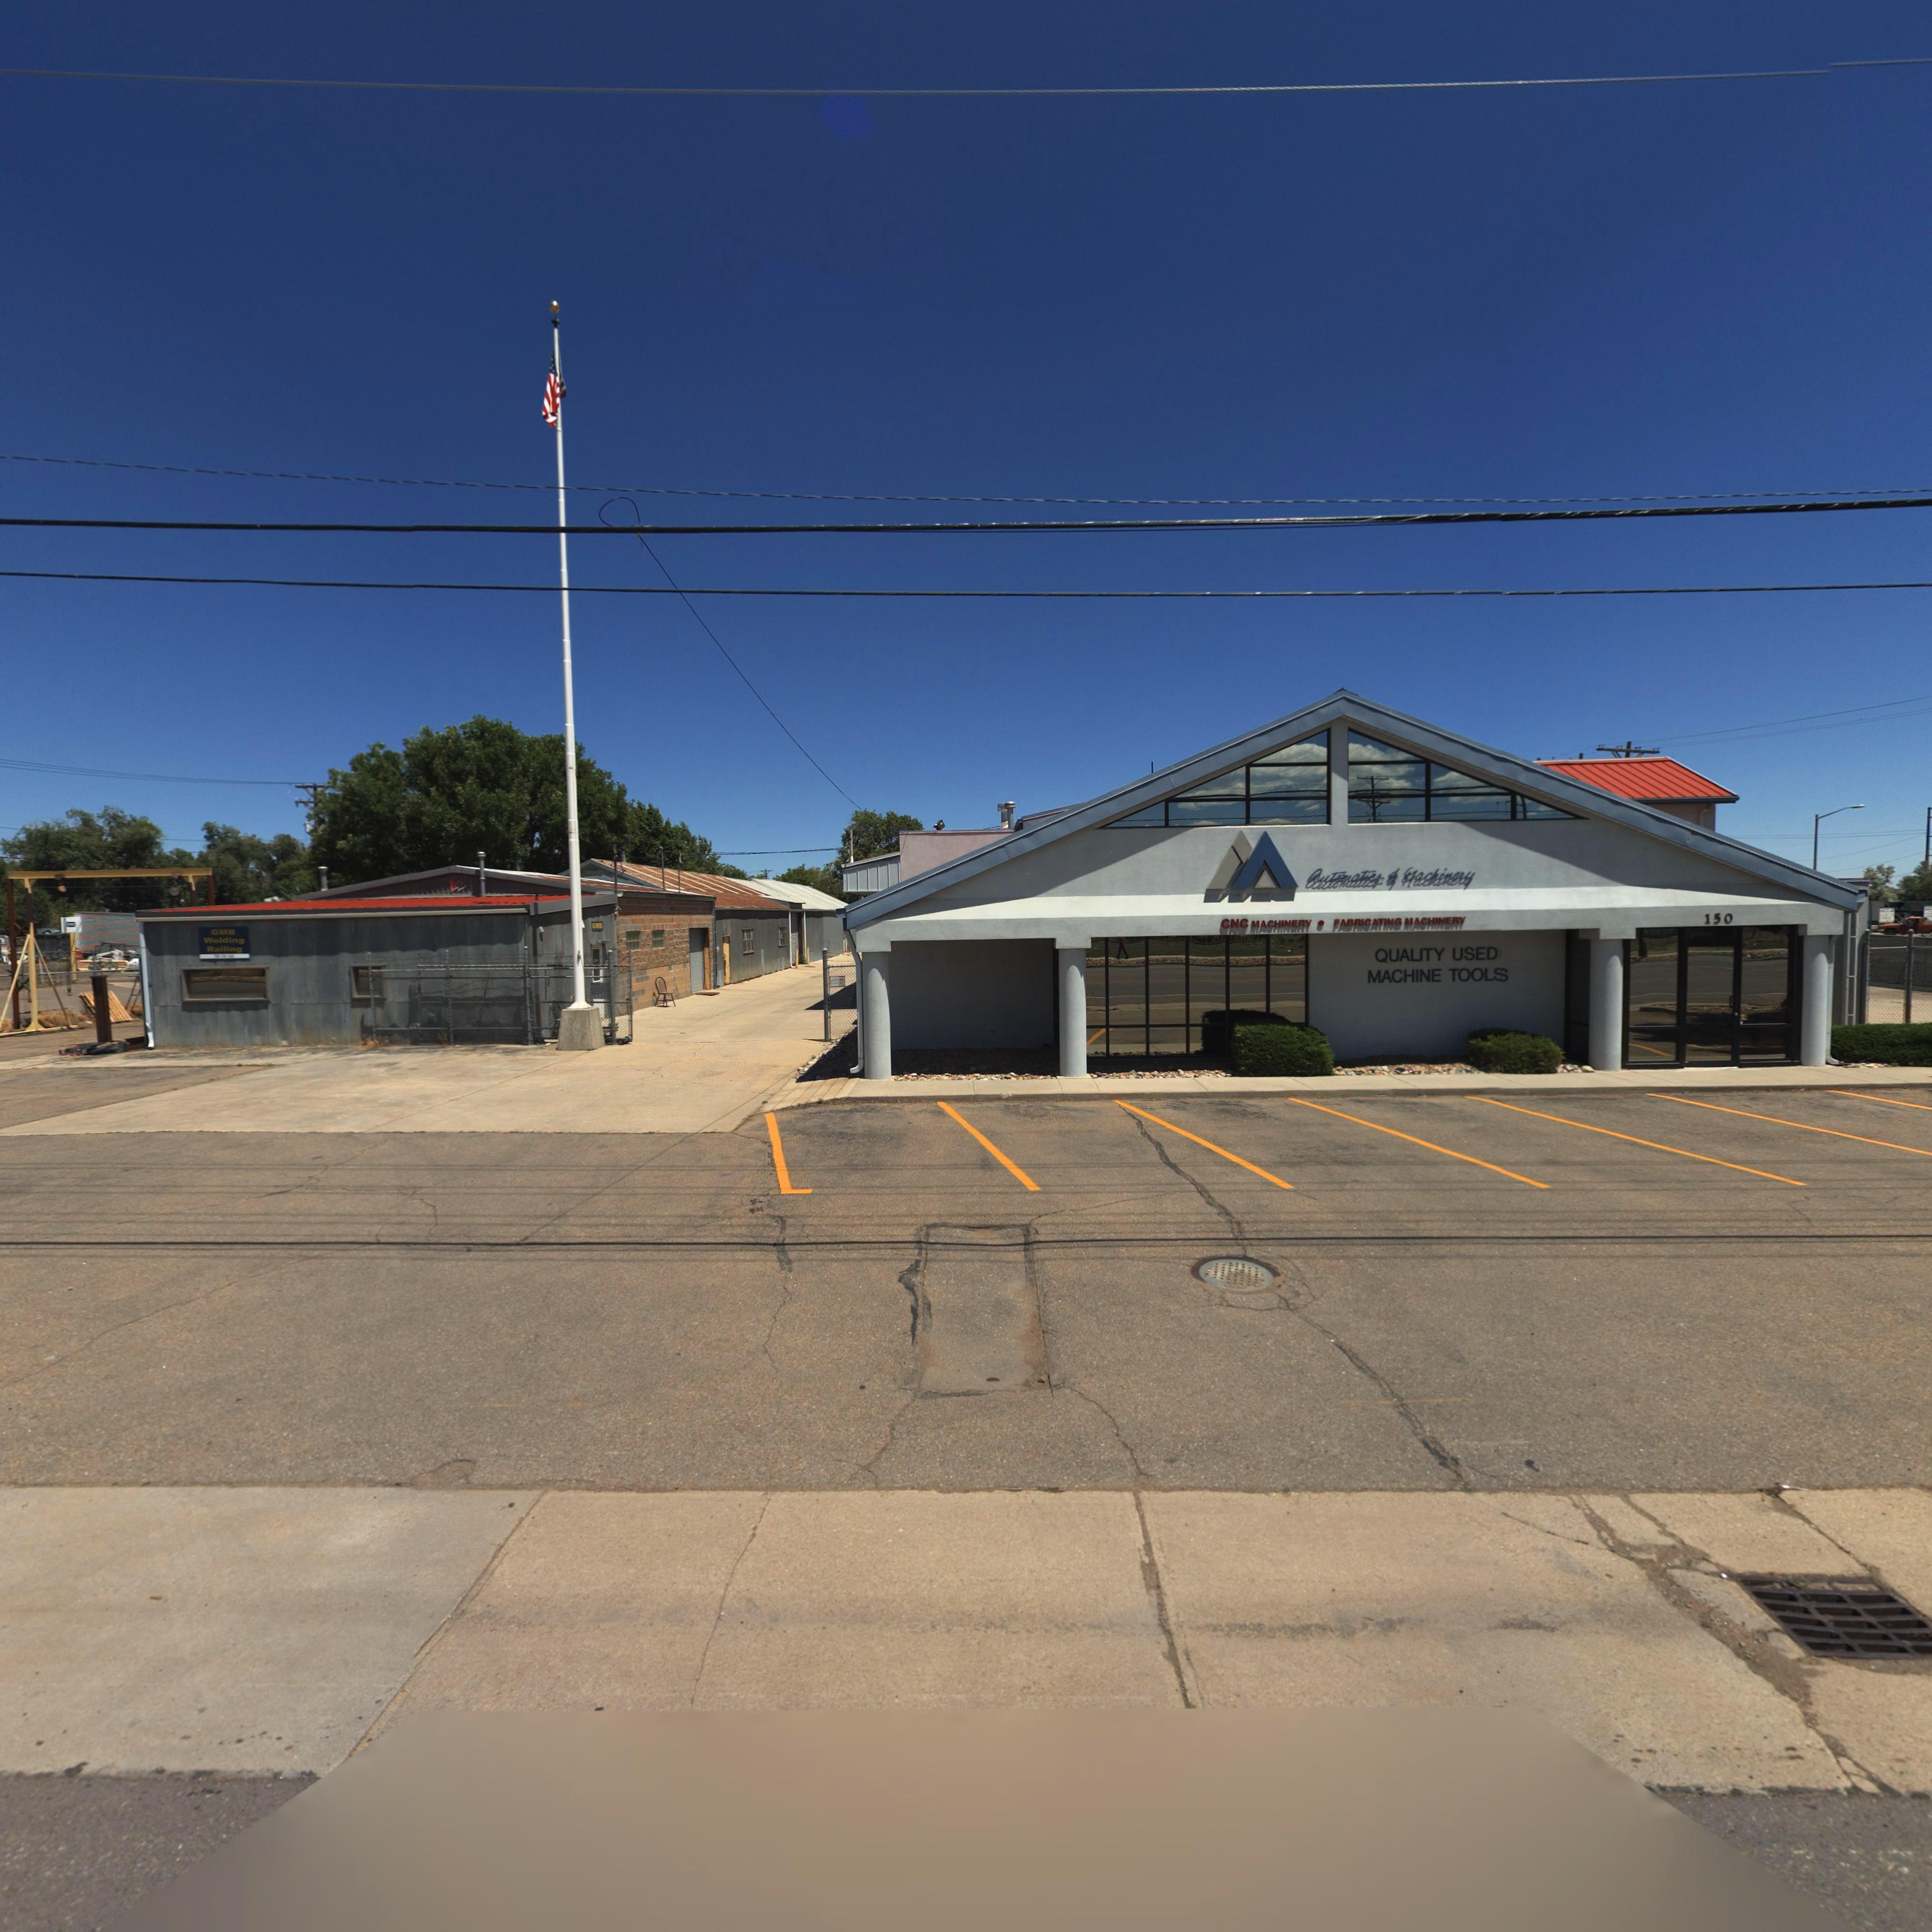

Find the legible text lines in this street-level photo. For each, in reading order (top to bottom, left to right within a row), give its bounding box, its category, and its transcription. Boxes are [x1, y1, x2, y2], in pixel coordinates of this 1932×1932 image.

[1306, 866, 1477, 887] BusinessName: AuTomaTics * Machinery
[1704, 912, 1733, 925] StreetNumber: 150
[592, 922, 603, 929] BusinessName: GMB
[211, 928, 236, 936] BusinessName: GMB
[203, 936, 244, 945] BusinessName: Welding
[206, 945, 242, 953] BusinessName: Railing